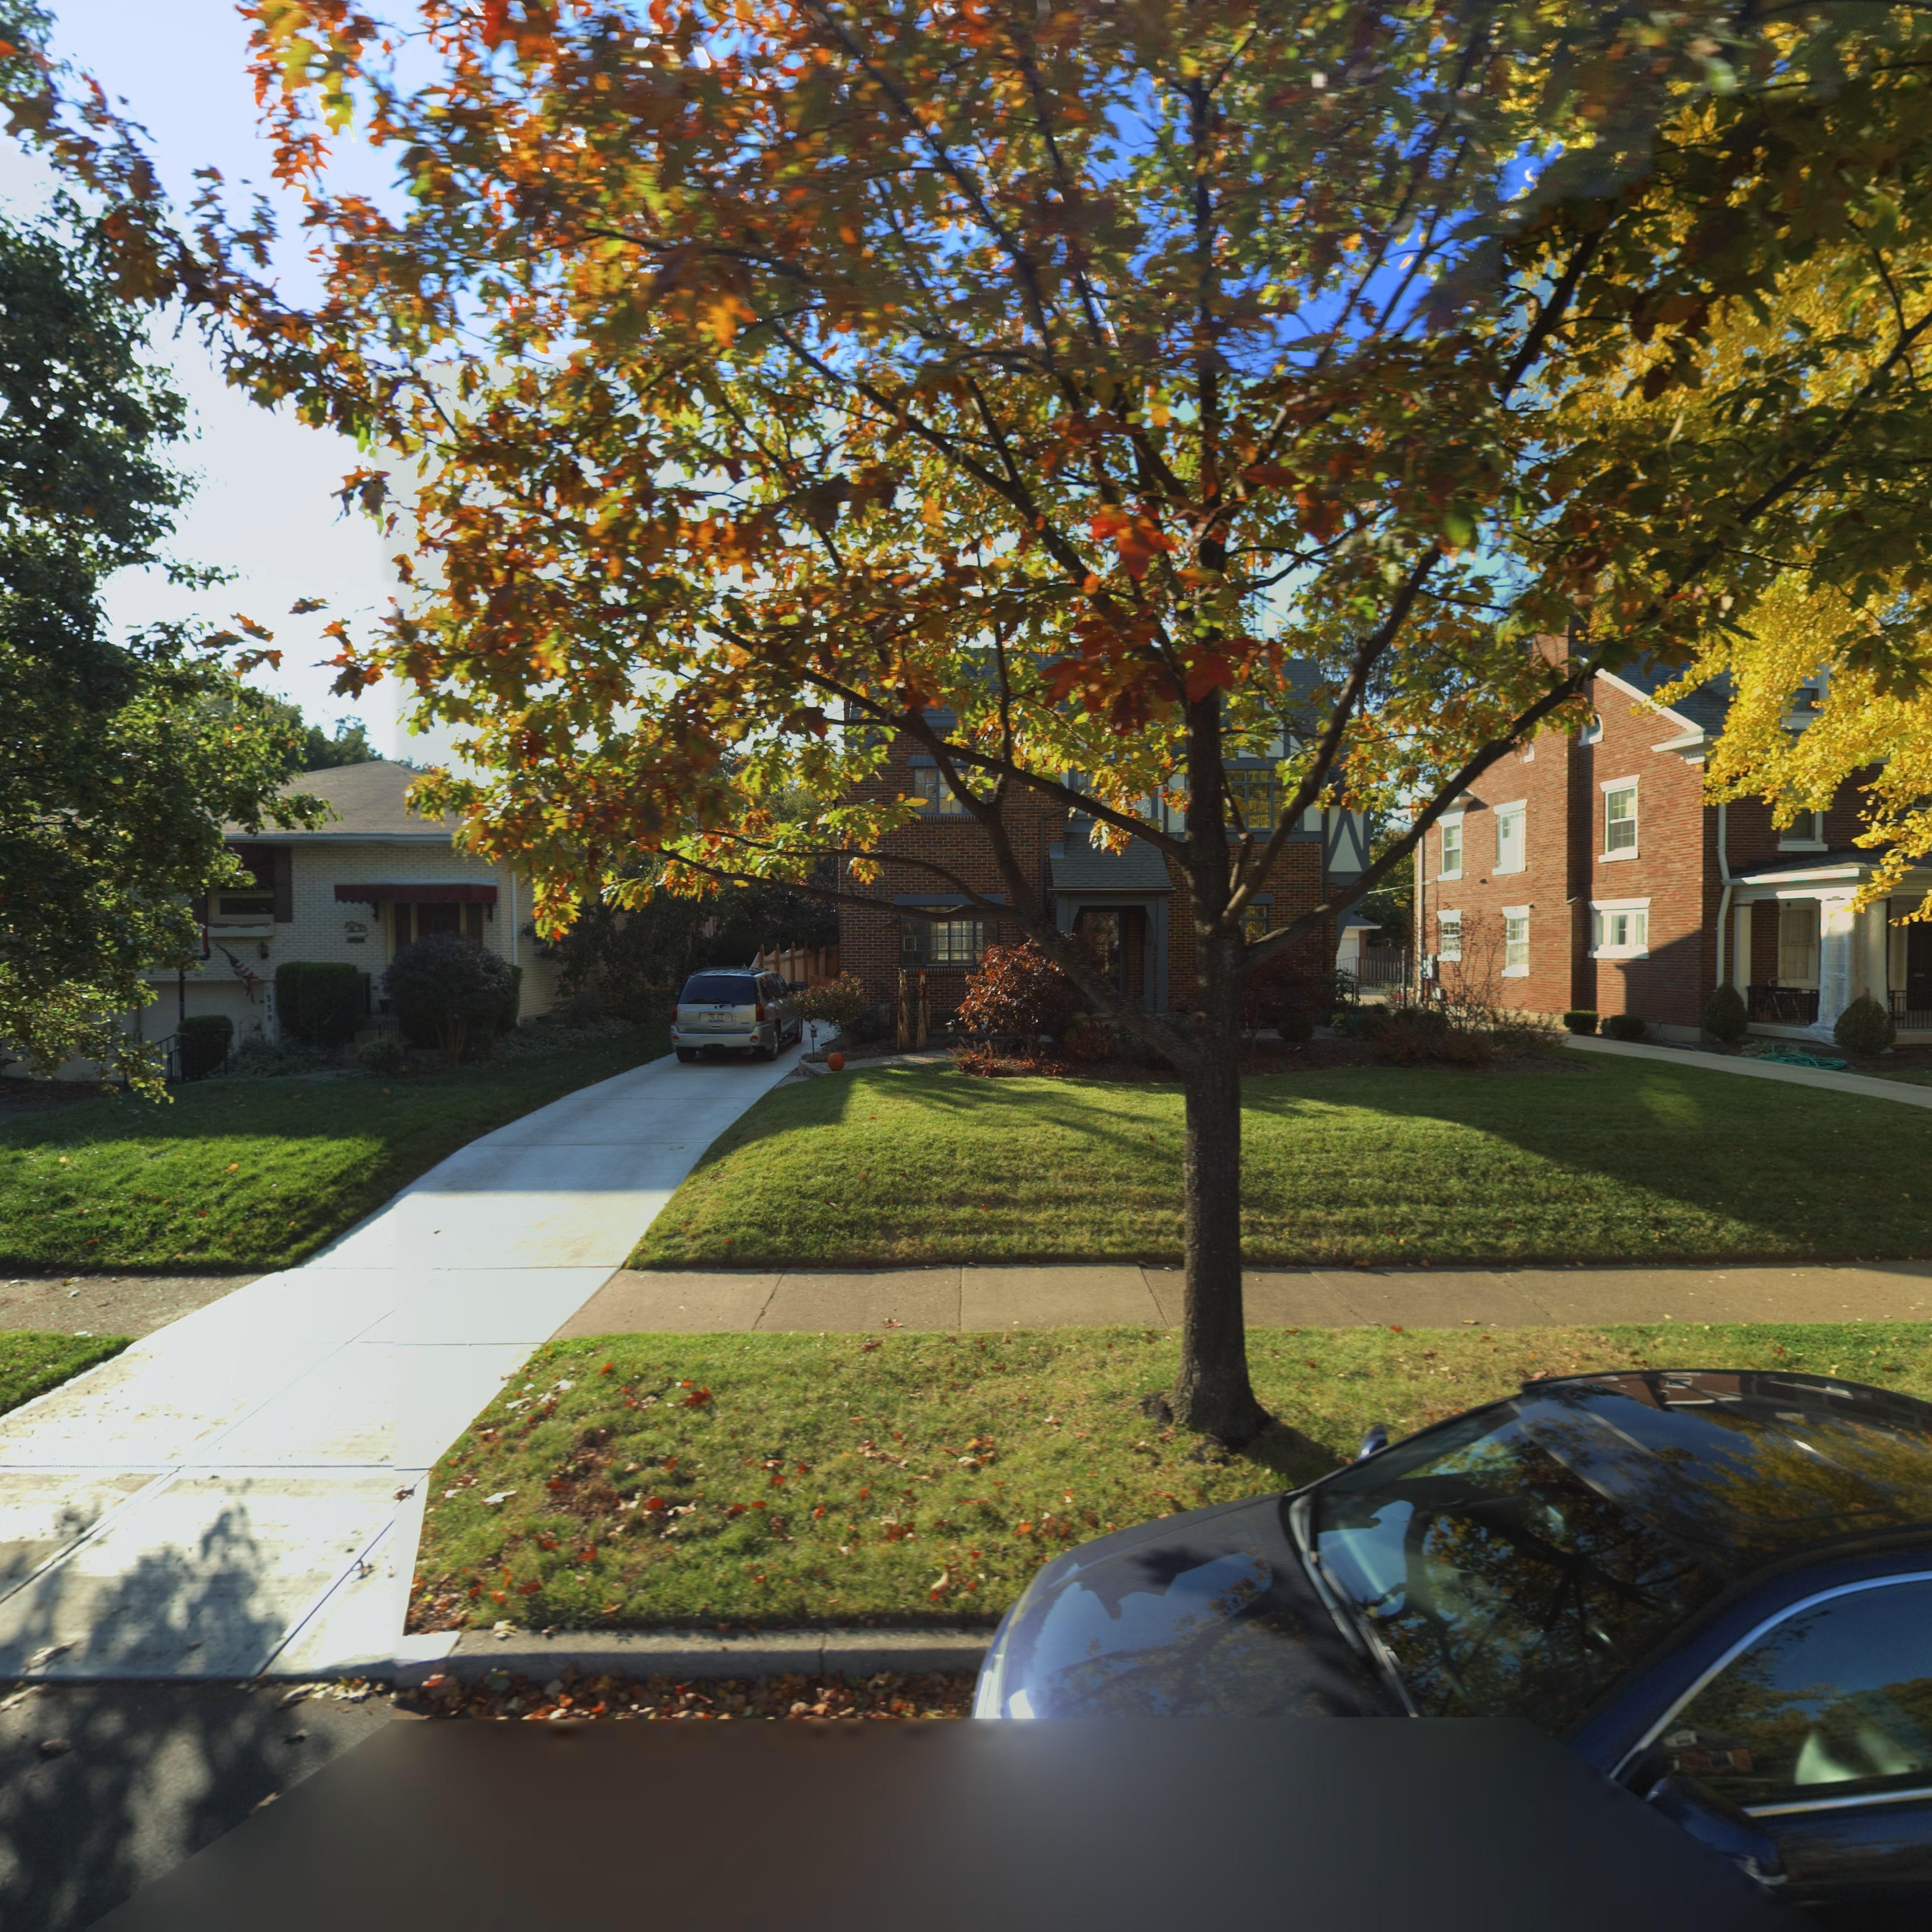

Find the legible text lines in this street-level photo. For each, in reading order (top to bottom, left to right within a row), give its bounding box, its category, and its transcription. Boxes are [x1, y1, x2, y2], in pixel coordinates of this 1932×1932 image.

[265, 994, 273, 1024] StreetNumber: 539